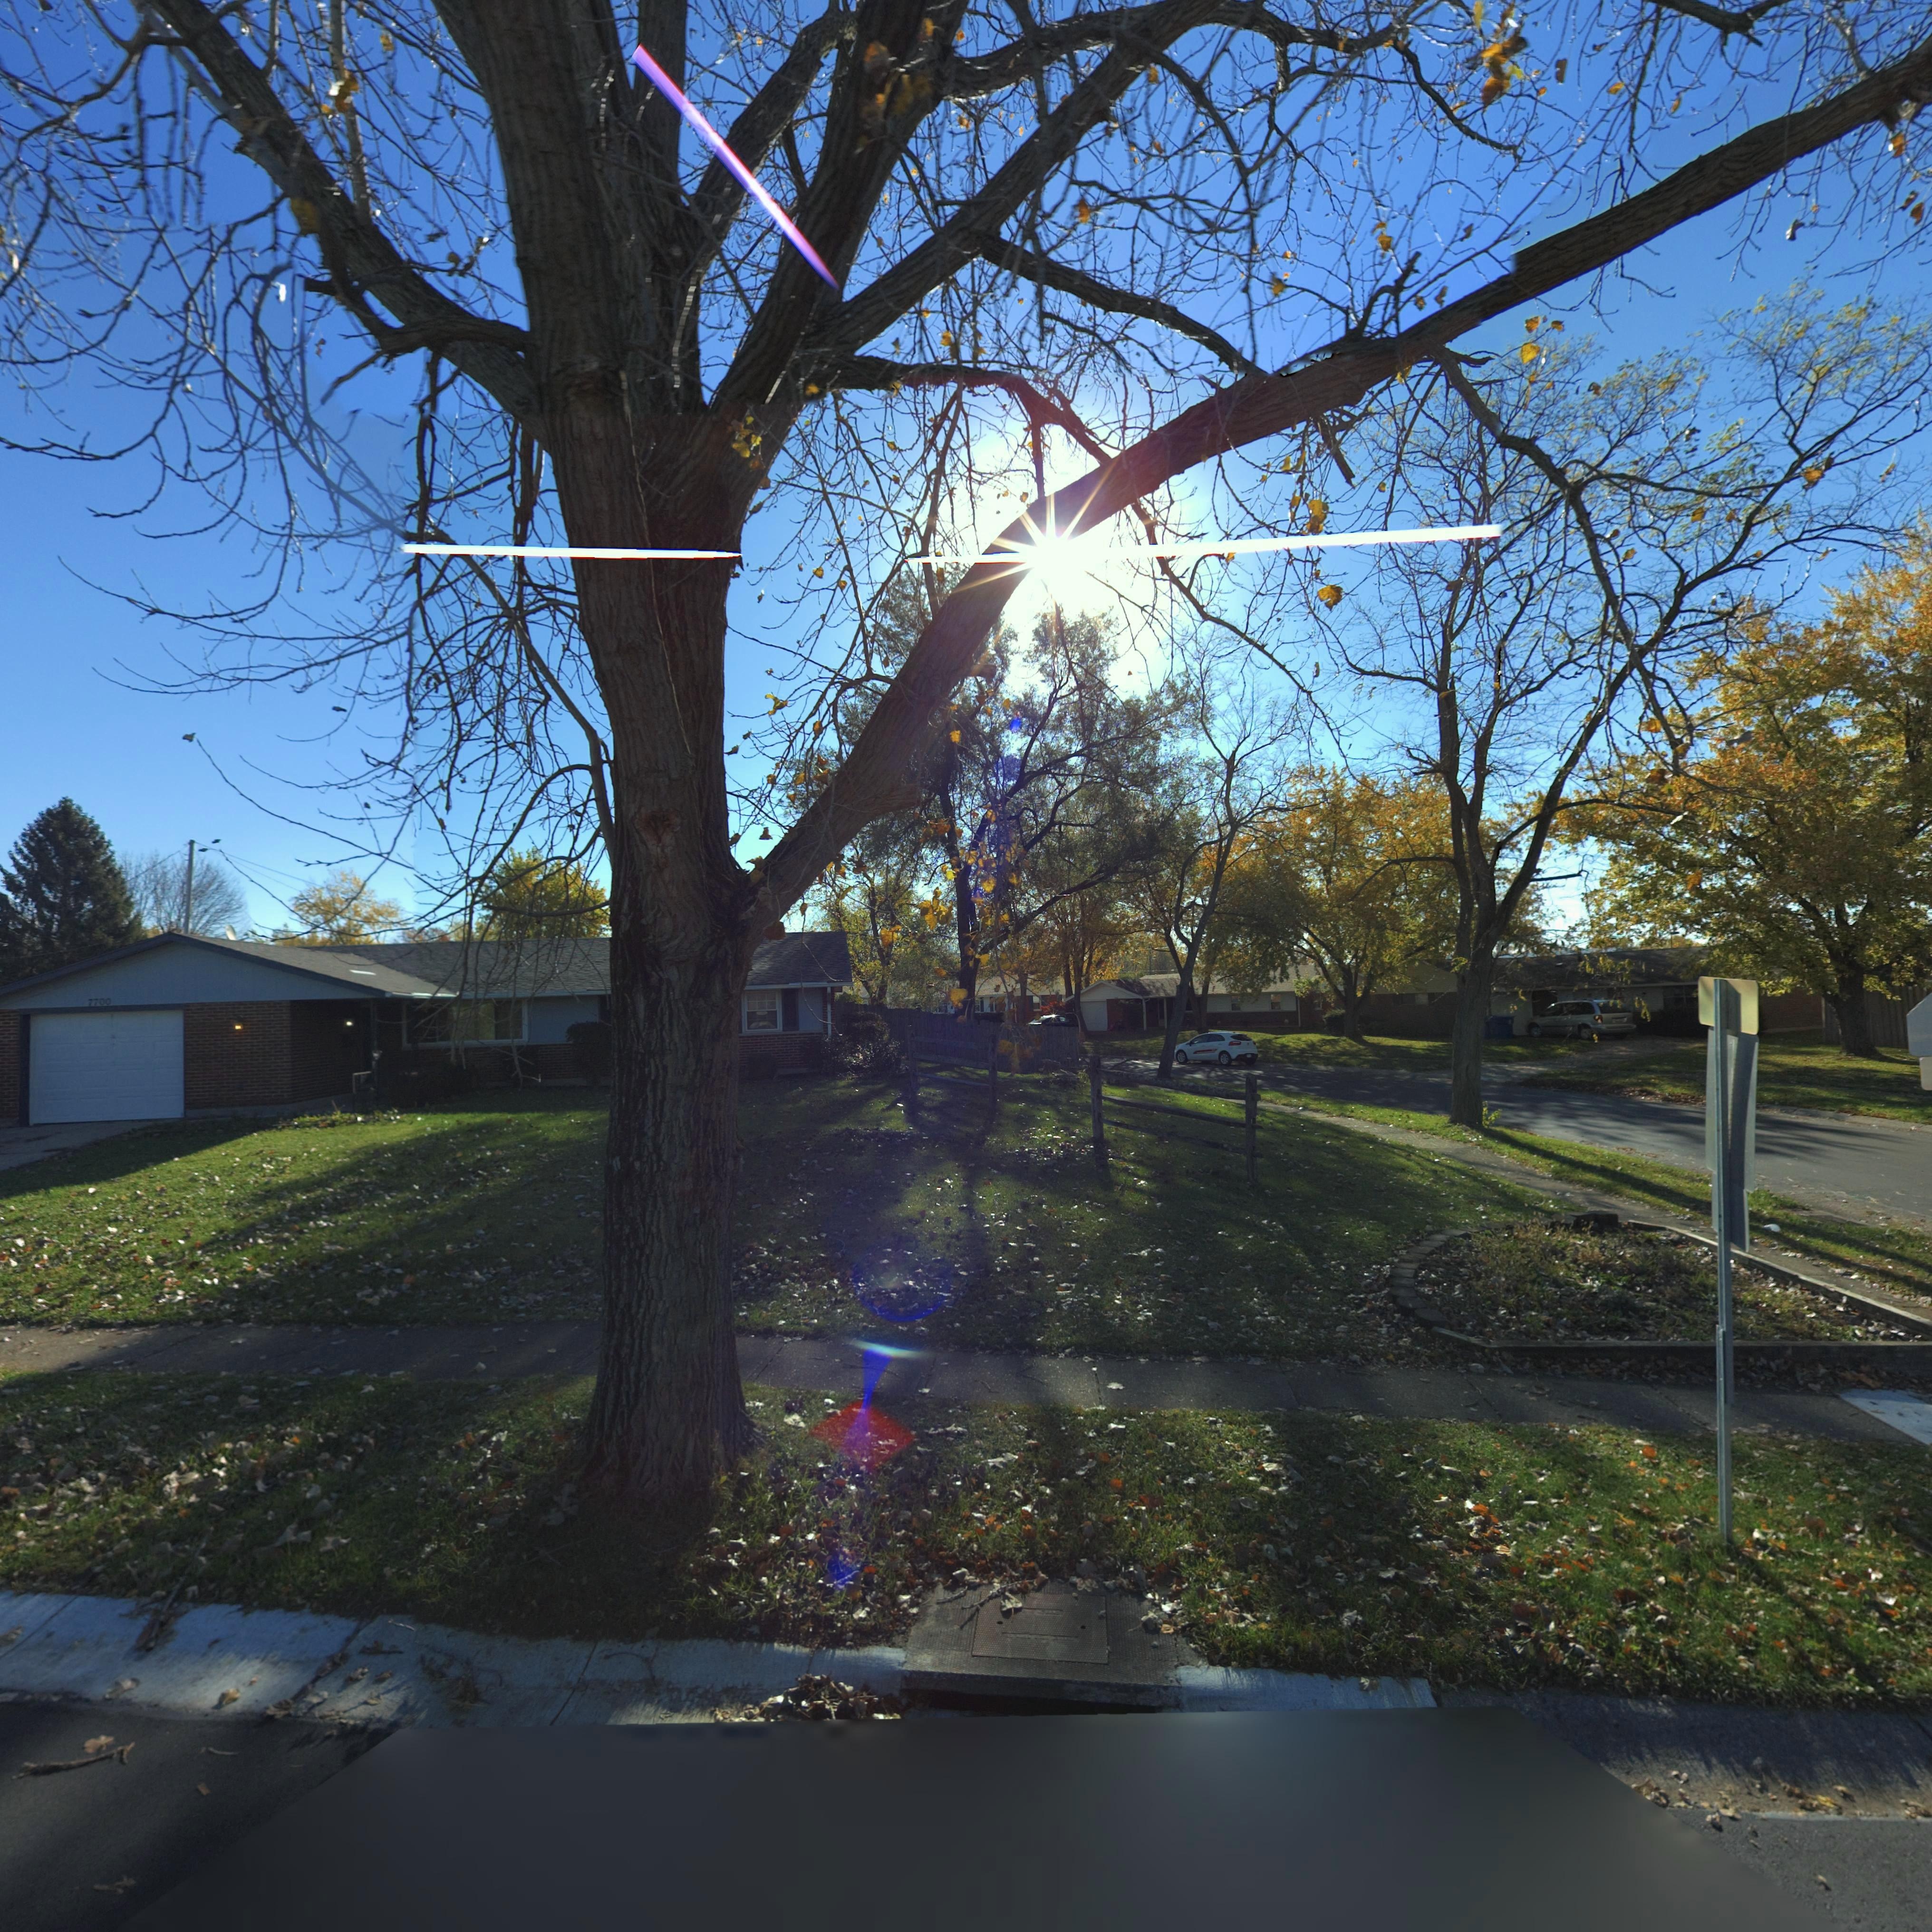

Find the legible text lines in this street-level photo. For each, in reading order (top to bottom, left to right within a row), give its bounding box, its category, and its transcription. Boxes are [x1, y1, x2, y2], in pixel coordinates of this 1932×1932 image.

[87, 996, 113, 1008] StreetNumber: 7700